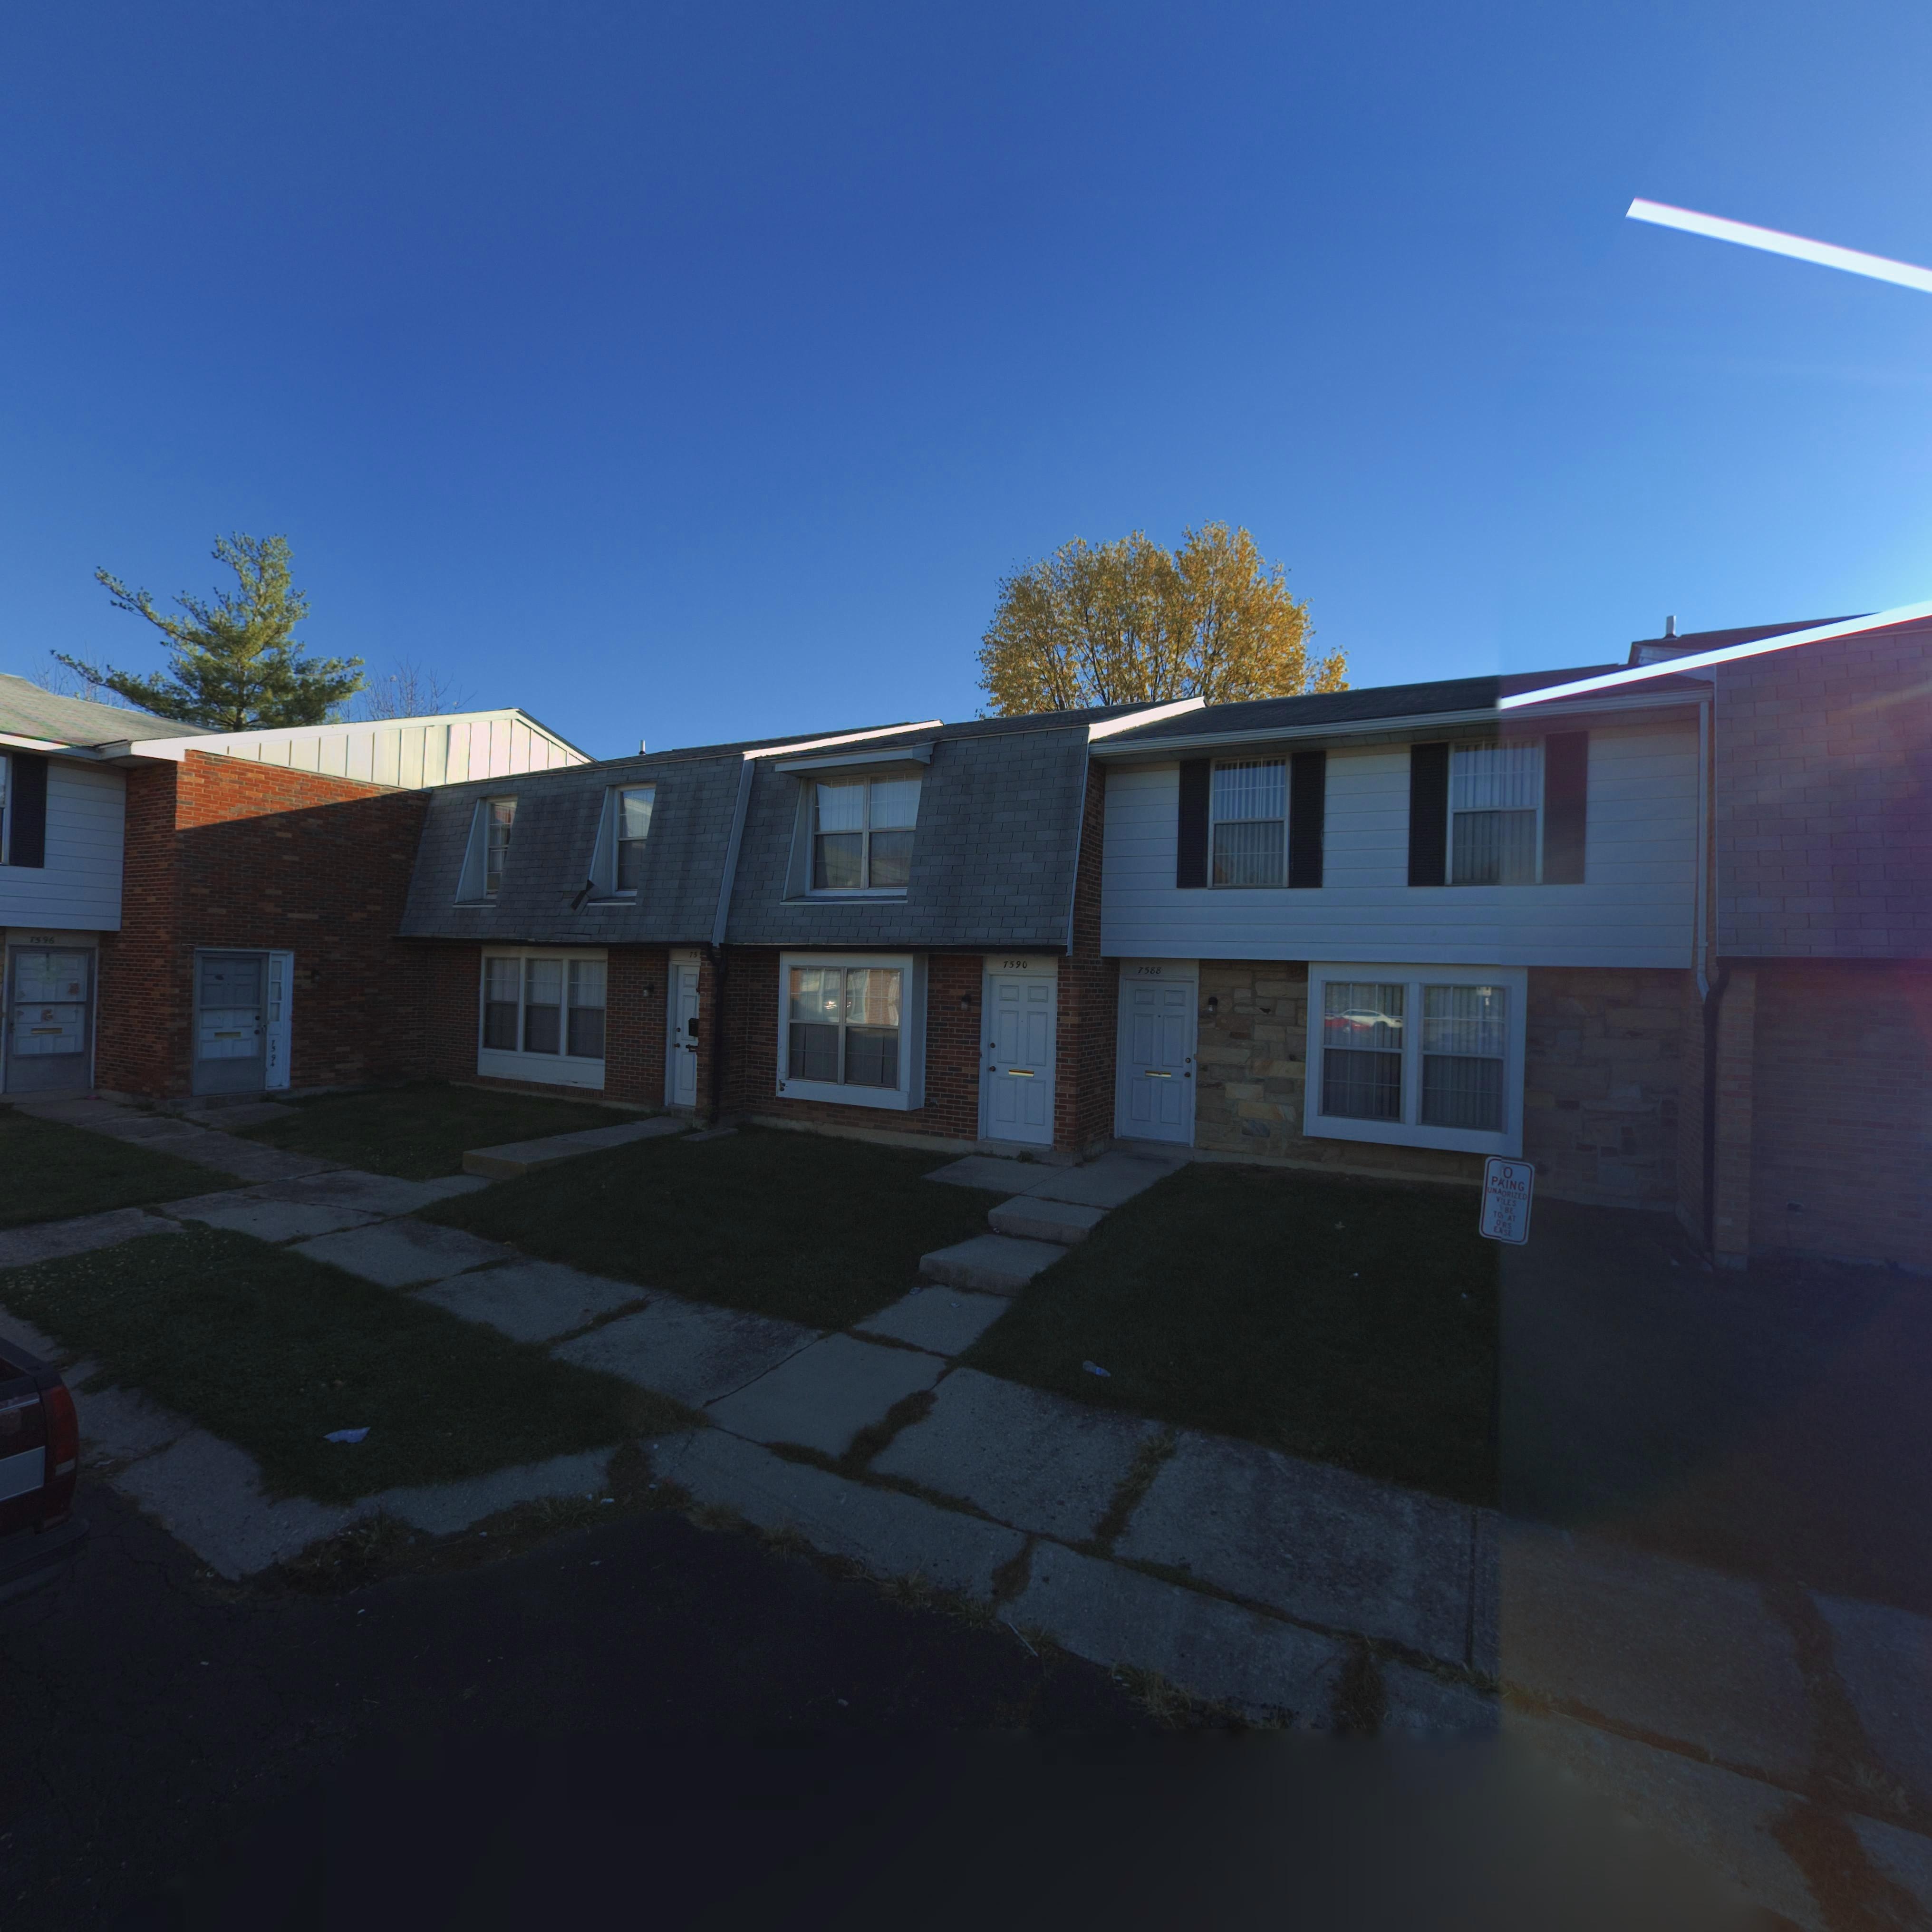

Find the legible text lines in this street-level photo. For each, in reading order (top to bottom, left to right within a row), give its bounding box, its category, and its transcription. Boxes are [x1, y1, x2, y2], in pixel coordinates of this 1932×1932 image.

[29, 935, 56, 945] StreetNumber: 7596
[689, 951, 698, 959] StreetNumber: 75
[1003, 959, 1028, 970] StreetNumber: 7590
[1137, 966, 1163, 976] StreetNumber: 7588
[269, 1038, 278, 1069] StreetNumber: 7594